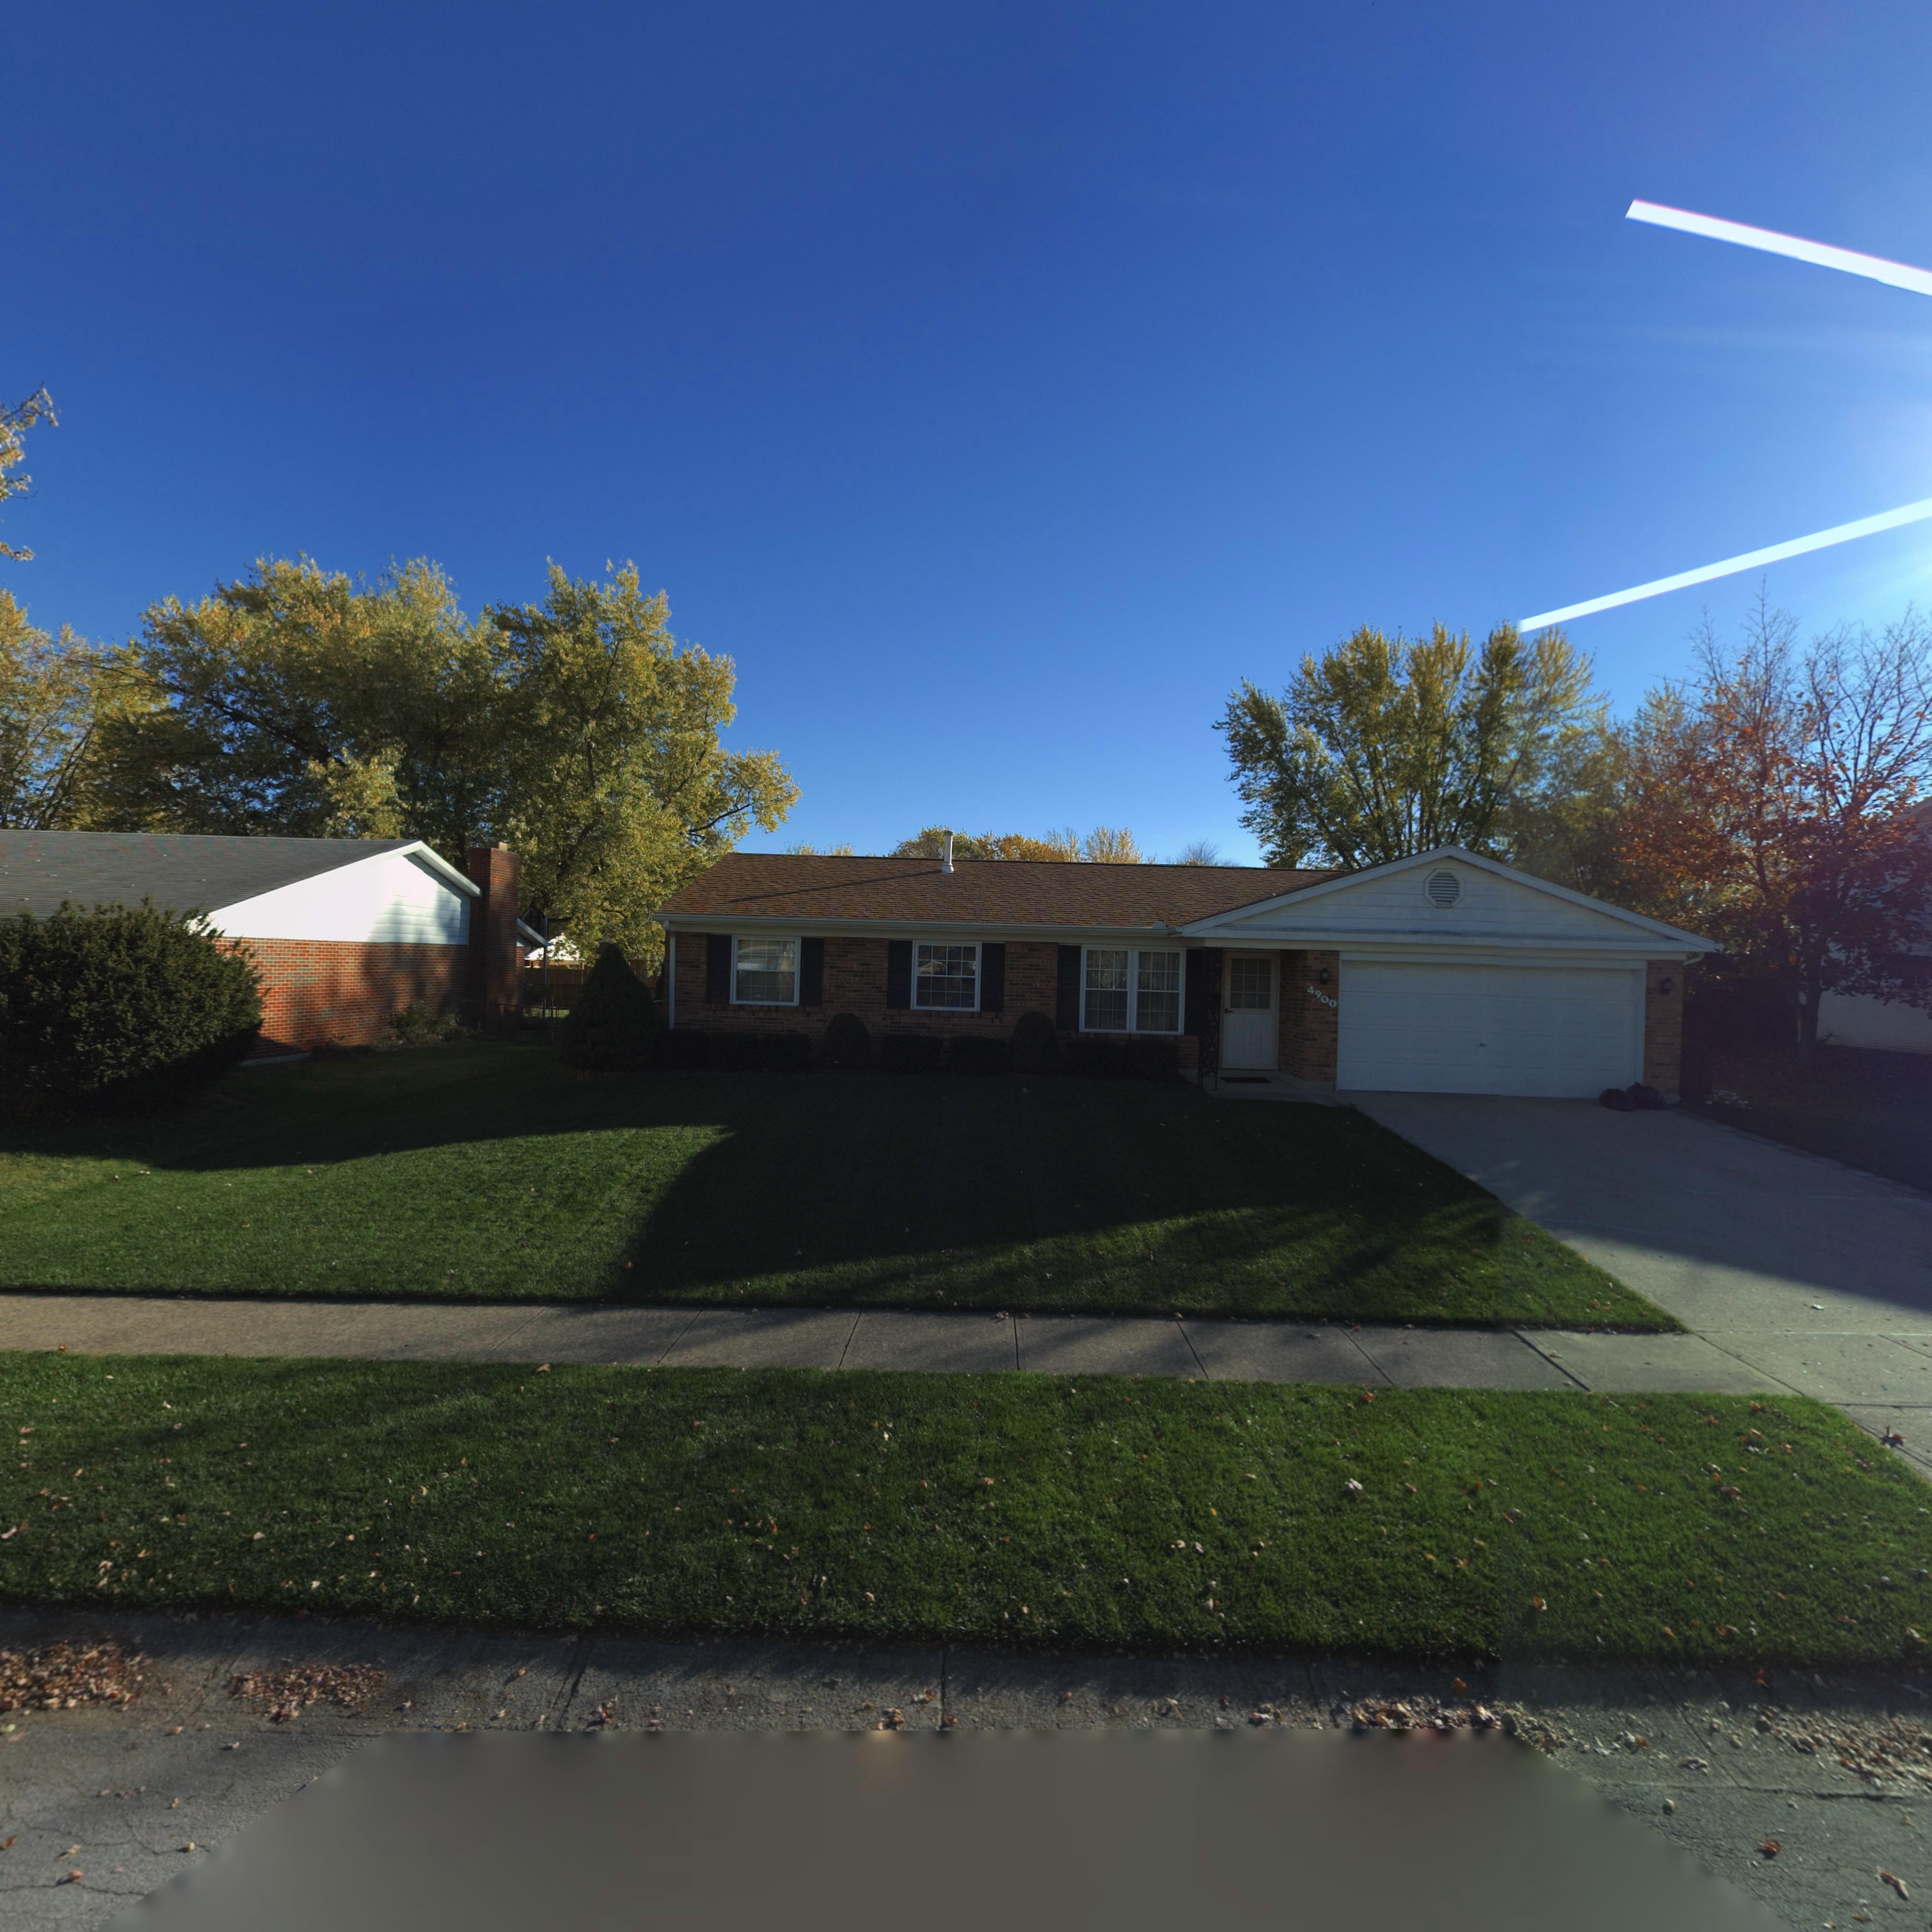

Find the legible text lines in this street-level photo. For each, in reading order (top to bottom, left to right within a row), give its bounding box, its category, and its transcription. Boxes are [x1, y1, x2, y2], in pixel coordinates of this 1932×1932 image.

[1306, 985, 1337, 1008] StreetNumber: 4900